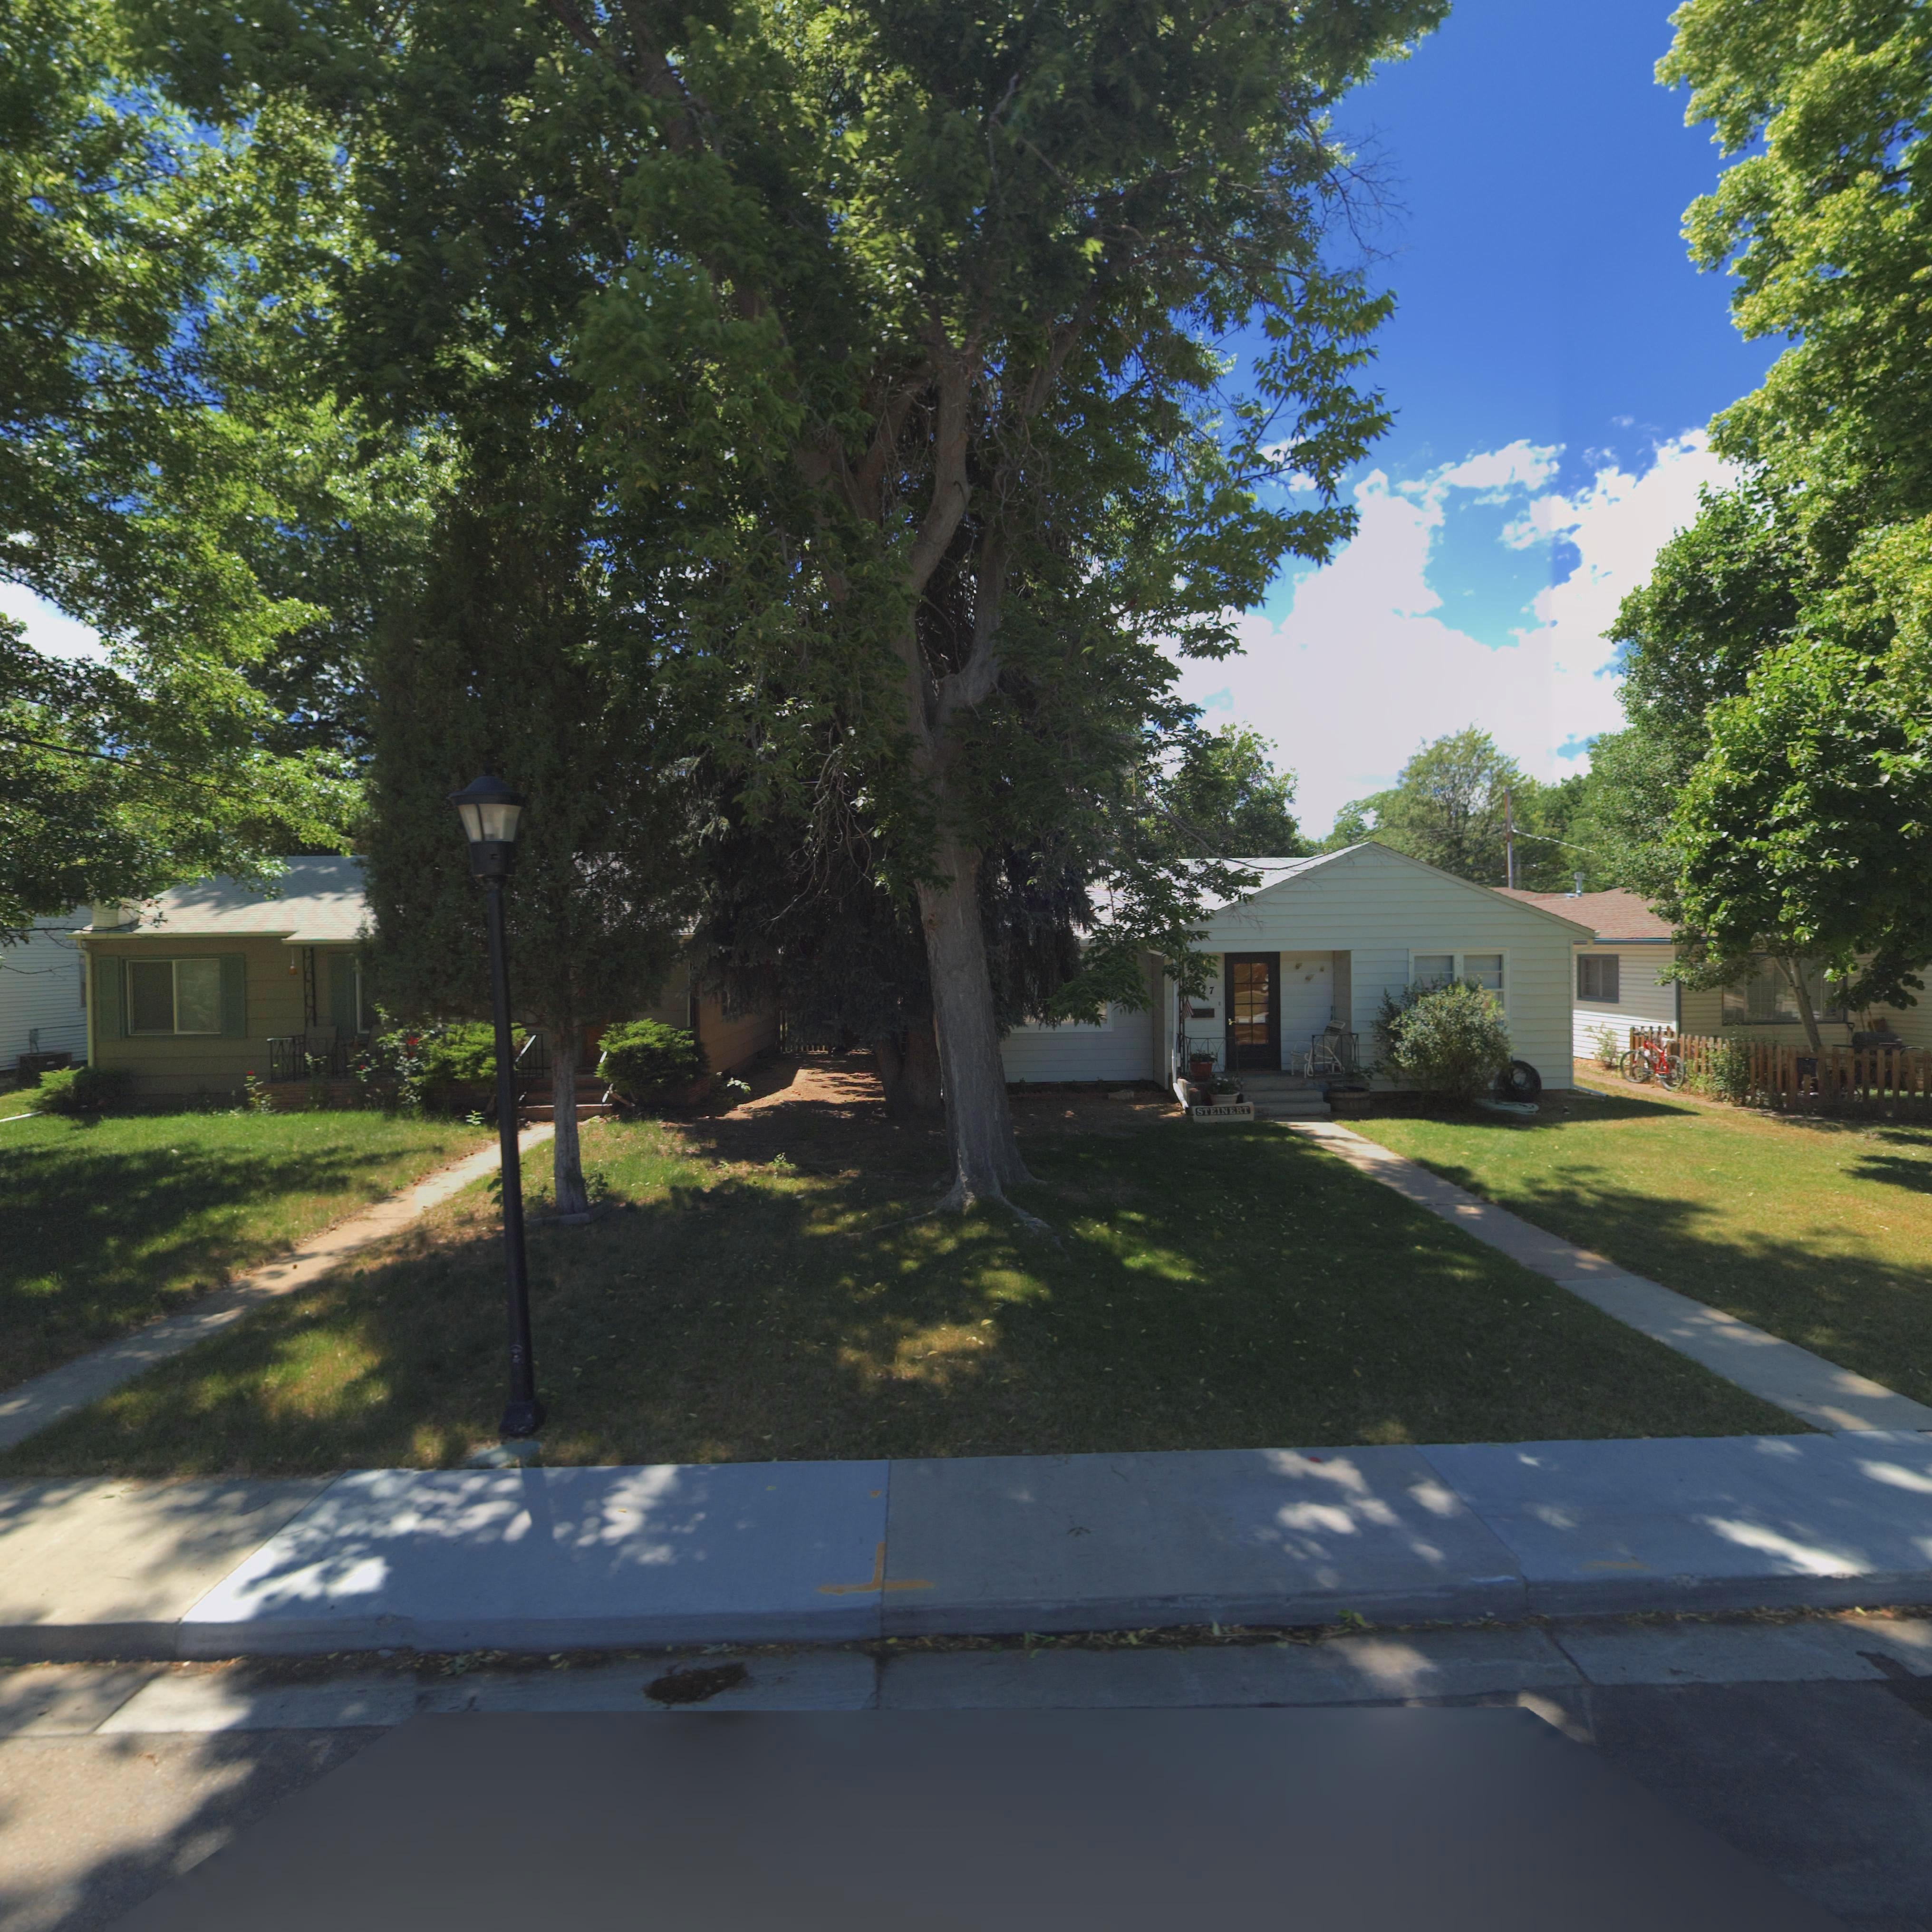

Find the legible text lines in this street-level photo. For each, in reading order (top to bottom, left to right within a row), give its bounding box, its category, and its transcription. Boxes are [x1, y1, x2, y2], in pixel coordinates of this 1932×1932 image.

[1201, 986, 1215, 994] StreetNumber: 27